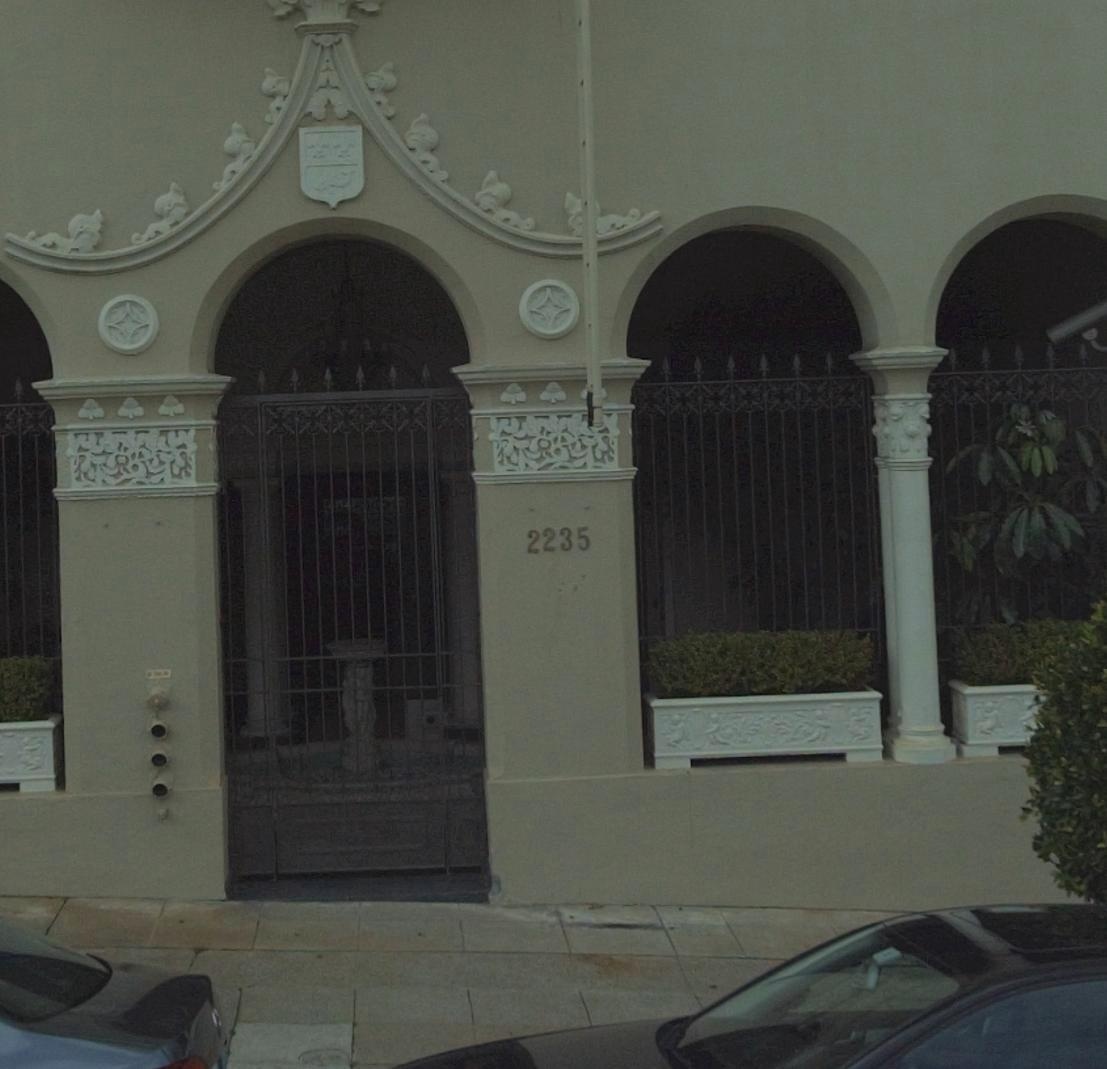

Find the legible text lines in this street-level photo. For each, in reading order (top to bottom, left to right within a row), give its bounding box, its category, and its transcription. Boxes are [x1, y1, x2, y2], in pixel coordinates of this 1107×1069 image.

[524, 523, 594, 556] StreetNumber: 2235